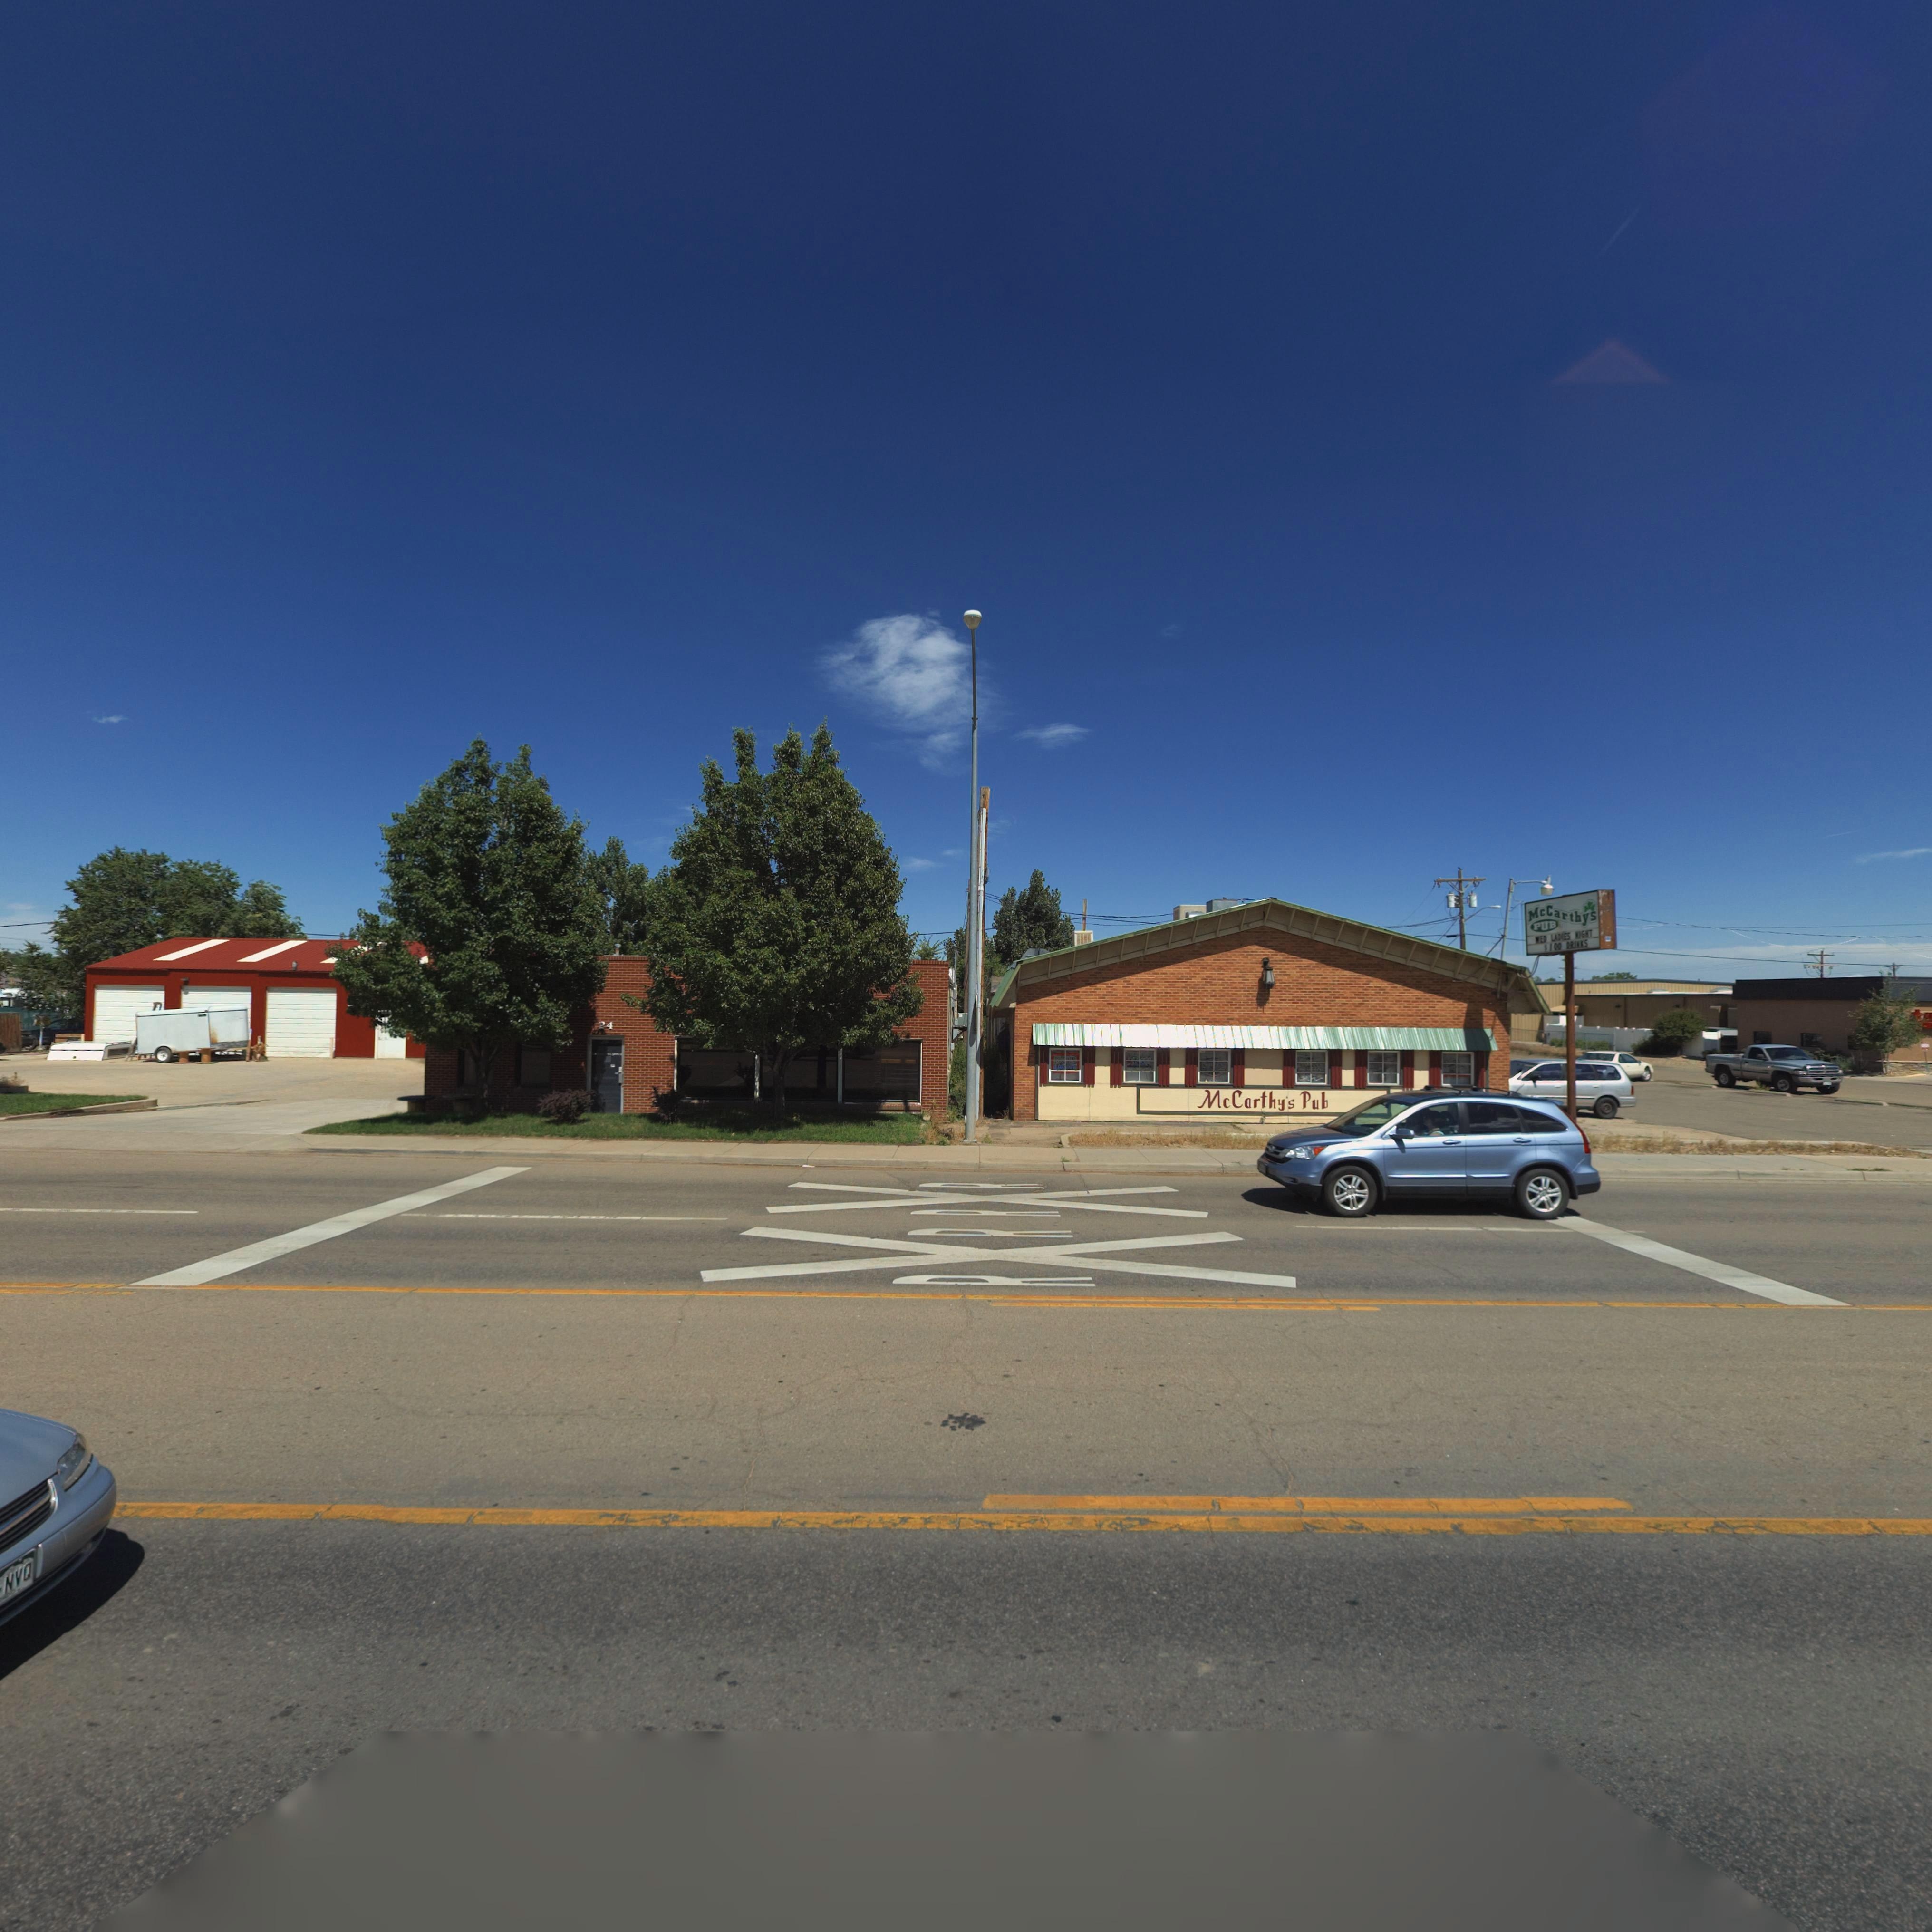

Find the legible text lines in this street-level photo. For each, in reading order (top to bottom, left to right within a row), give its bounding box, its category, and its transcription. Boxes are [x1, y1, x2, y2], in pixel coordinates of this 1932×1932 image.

[1532, 920, 1556, 931] BusinessName: PUB
[1527, 904, 1597, 927] BusinessName: McCarthys
[597, 1020, 613, 1030] StreetNumber: 24
[1196, 1089, 1329, 1111] BusinessName: McCarthy's Pub